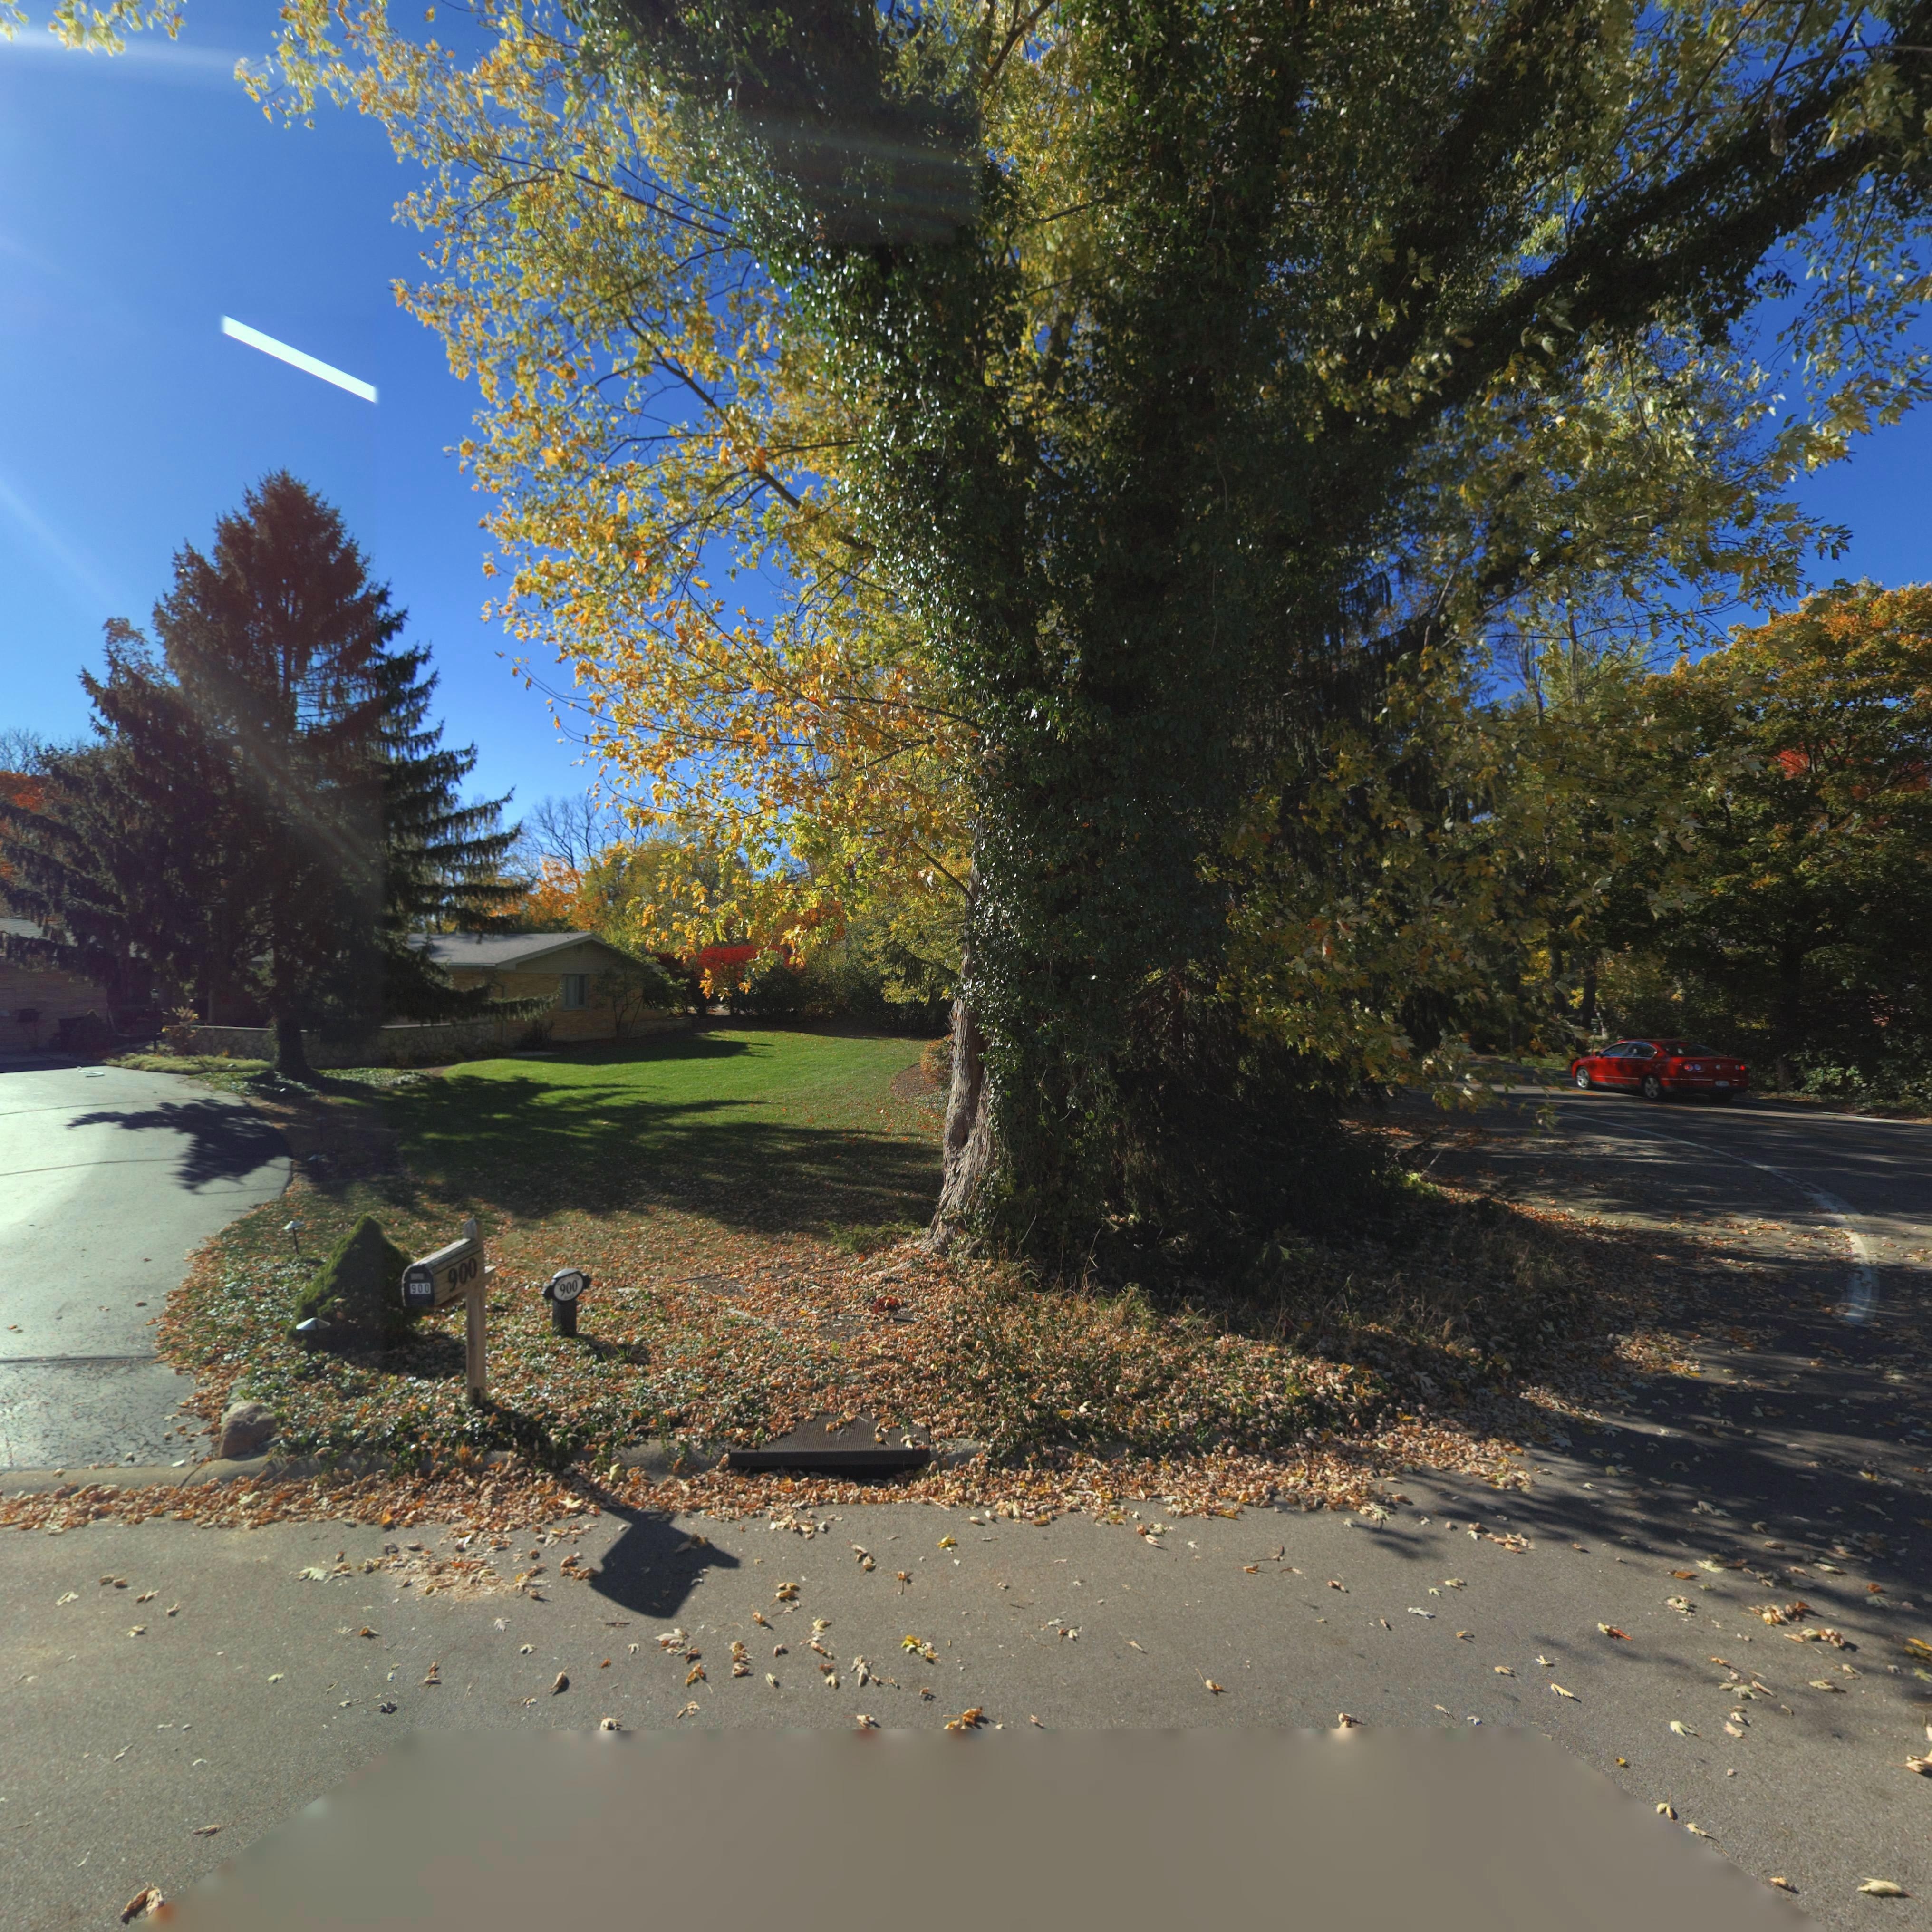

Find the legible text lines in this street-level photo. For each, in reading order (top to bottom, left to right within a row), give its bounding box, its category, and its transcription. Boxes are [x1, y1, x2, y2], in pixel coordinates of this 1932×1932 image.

[445, 1255, 479, 1295] StreetNumber: 900
[410, 1283, 431, 1295] StreetNumber: 900
[557, 1277, 580, 1299] StreetNumber: 900